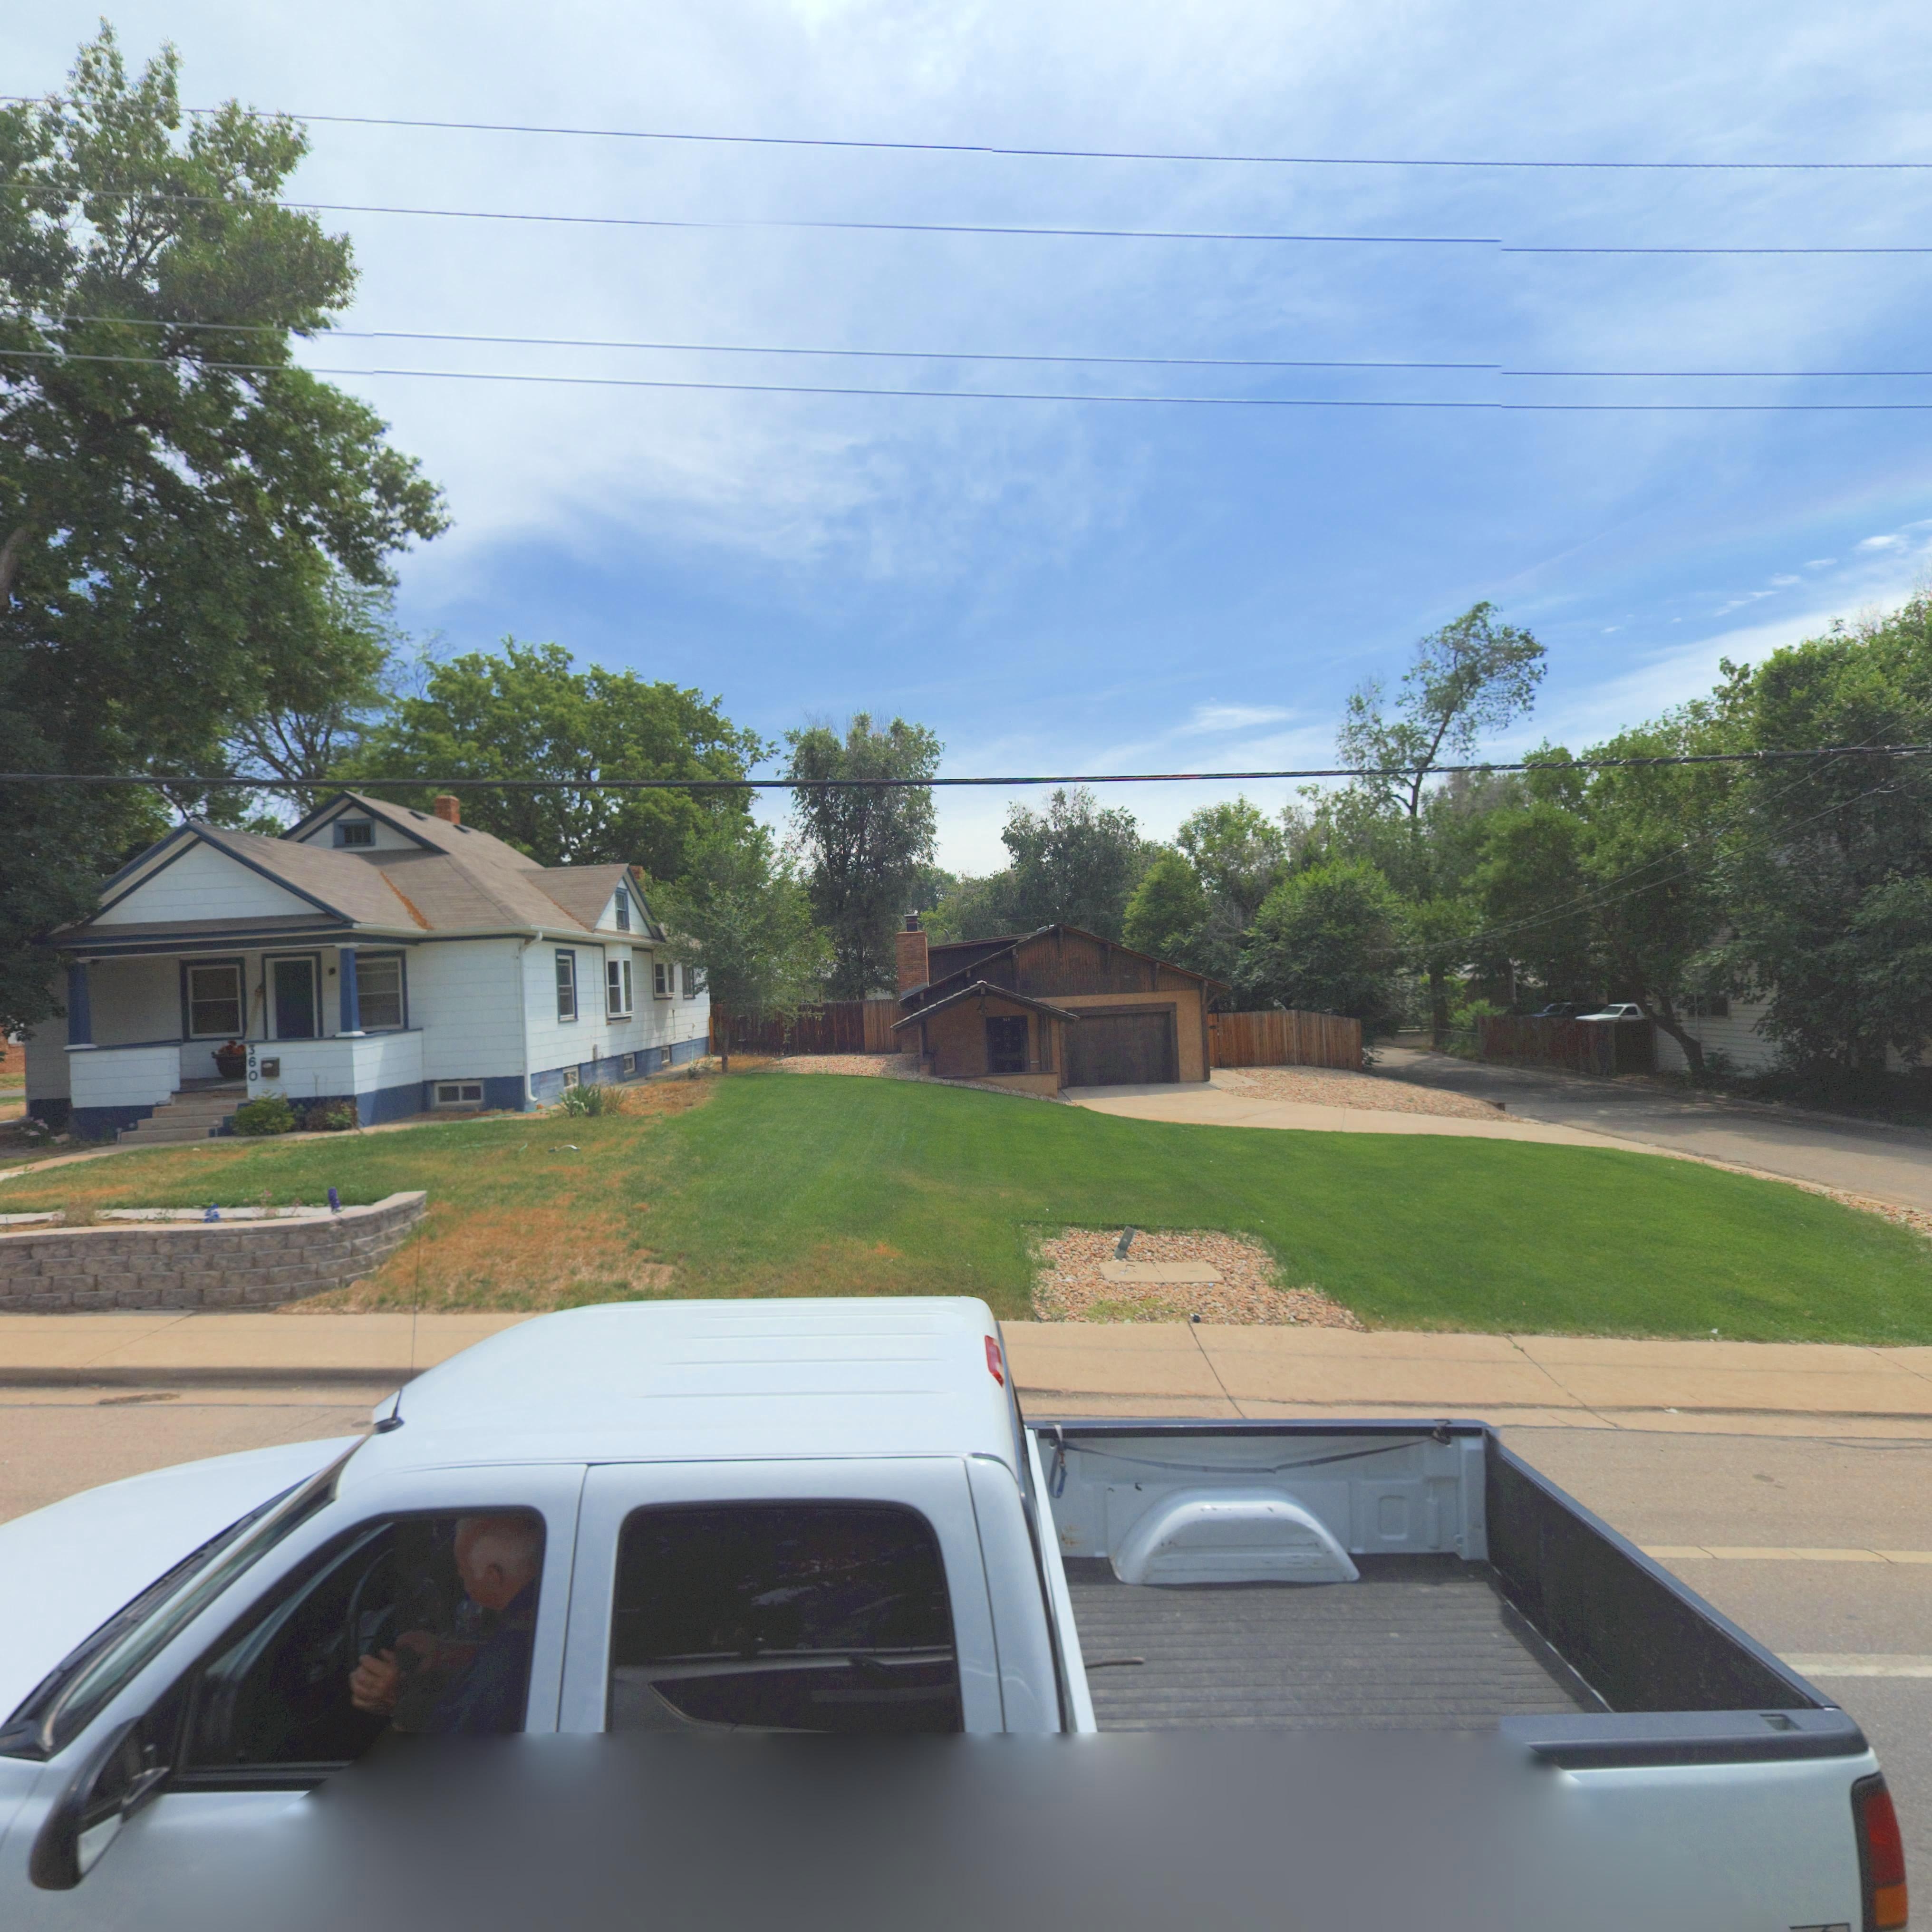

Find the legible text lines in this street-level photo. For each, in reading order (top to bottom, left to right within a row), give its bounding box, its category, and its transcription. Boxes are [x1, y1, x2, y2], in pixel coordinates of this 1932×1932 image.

[245, 1042, 259, 1083] StreetNumber: 360